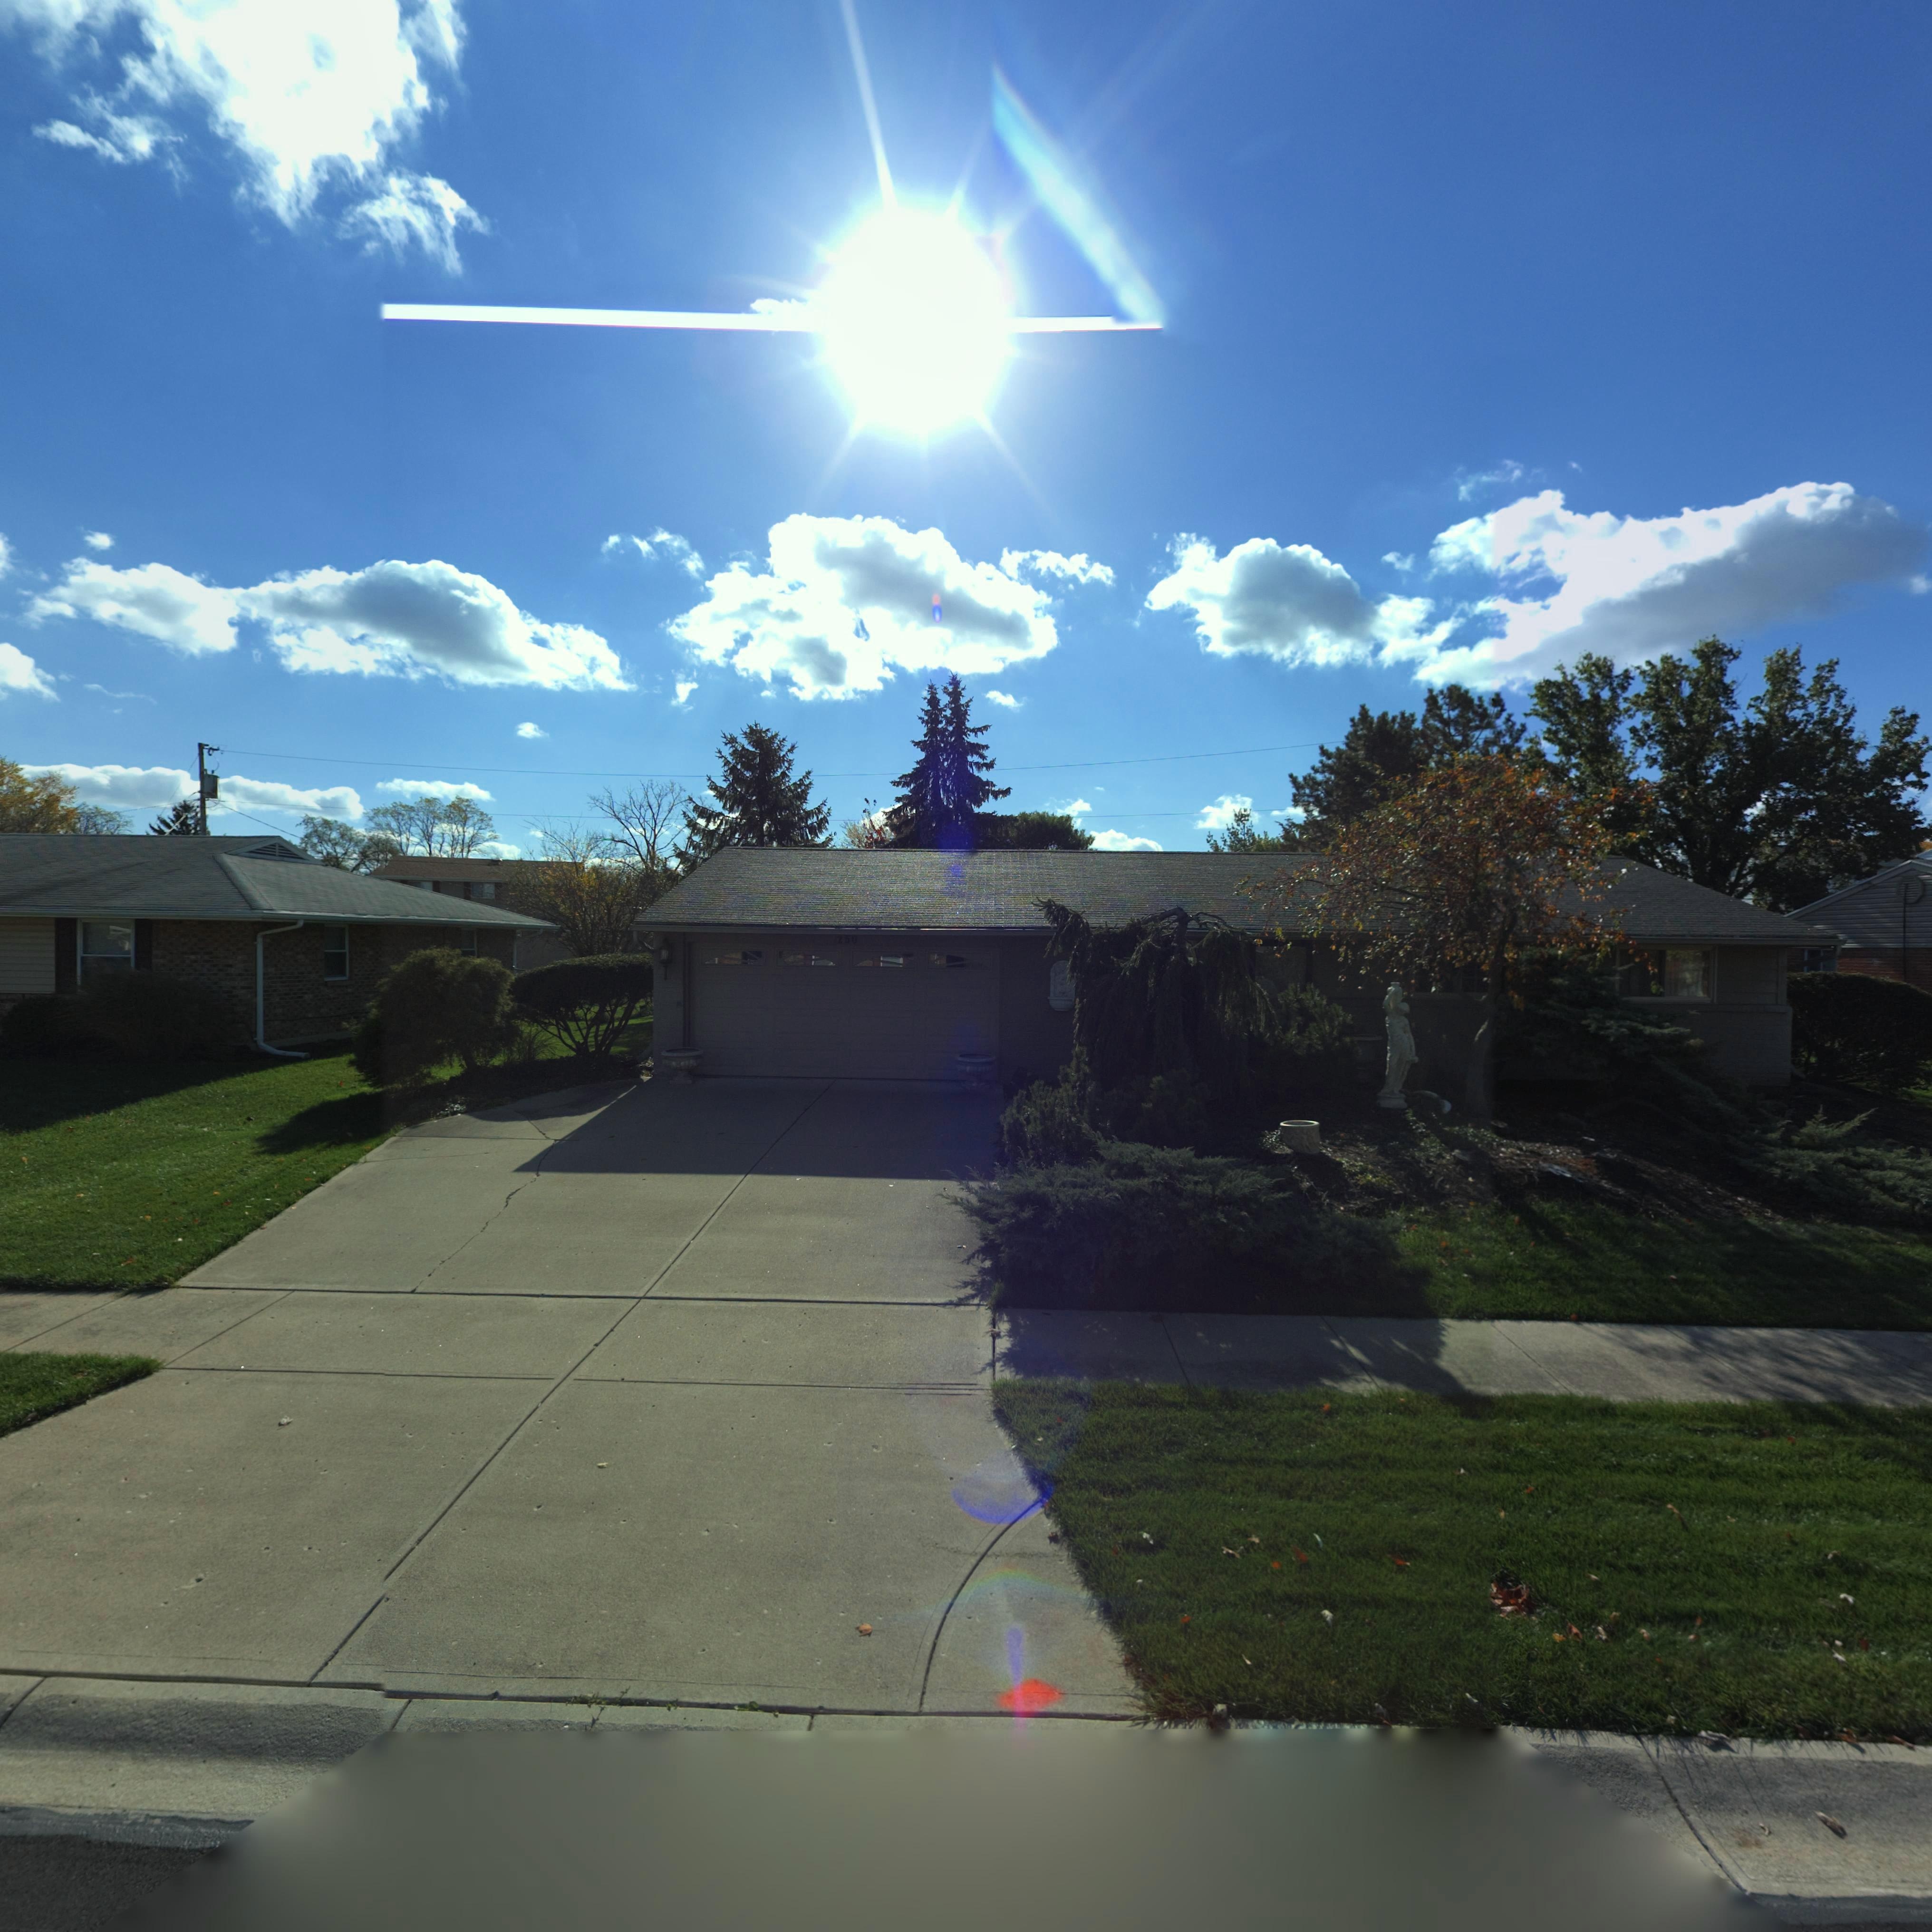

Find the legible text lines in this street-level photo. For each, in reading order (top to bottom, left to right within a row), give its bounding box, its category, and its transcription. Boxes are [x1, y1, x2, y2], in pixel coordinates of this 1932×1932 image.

[835, 934, 859, 945] StreetNumber: 250